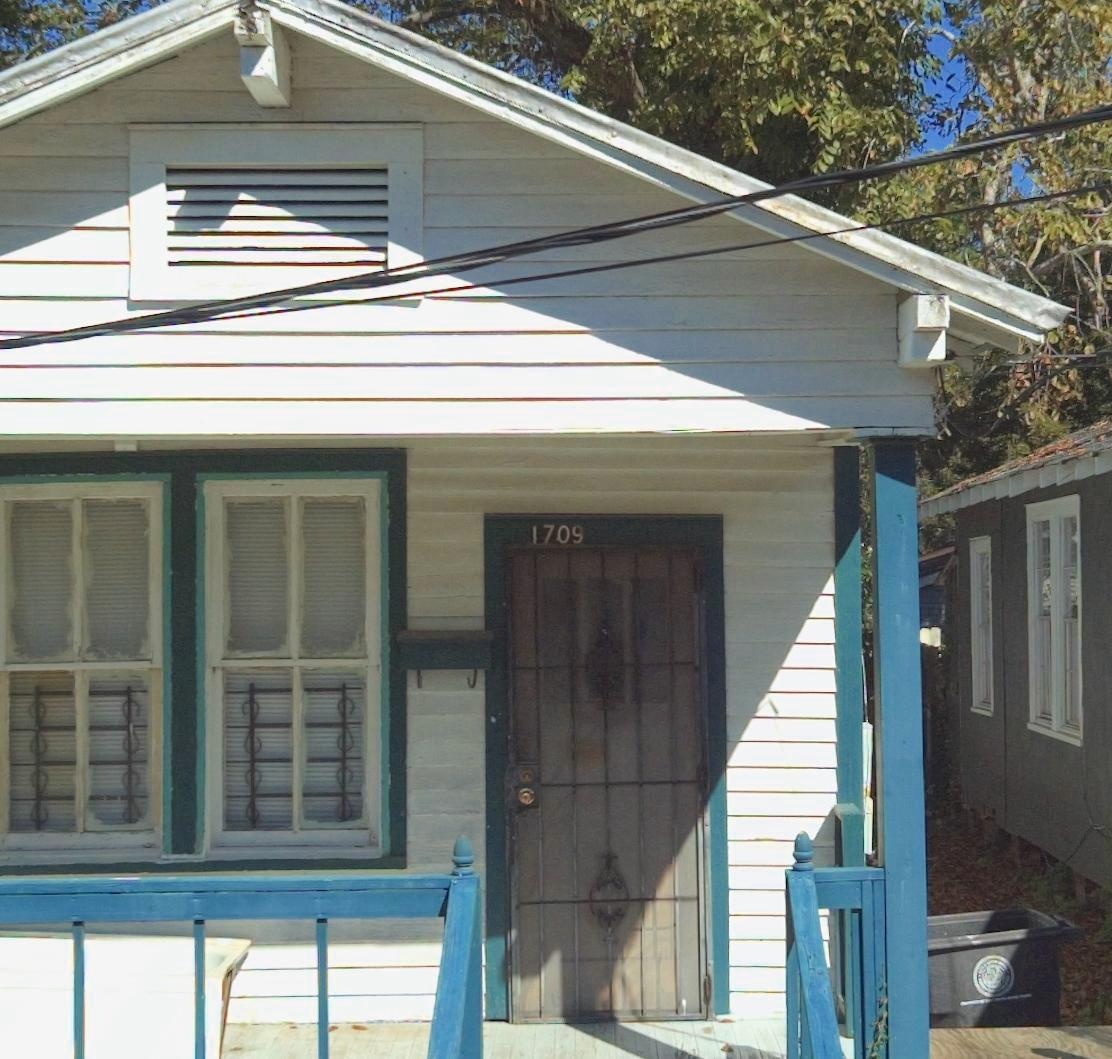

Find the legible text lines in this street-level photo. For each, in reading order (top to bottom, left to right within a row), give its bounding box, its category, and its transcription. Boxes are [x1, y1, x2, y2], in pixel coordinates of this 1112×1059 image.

[530, 522, 586, 548] StreetNumber: 1709